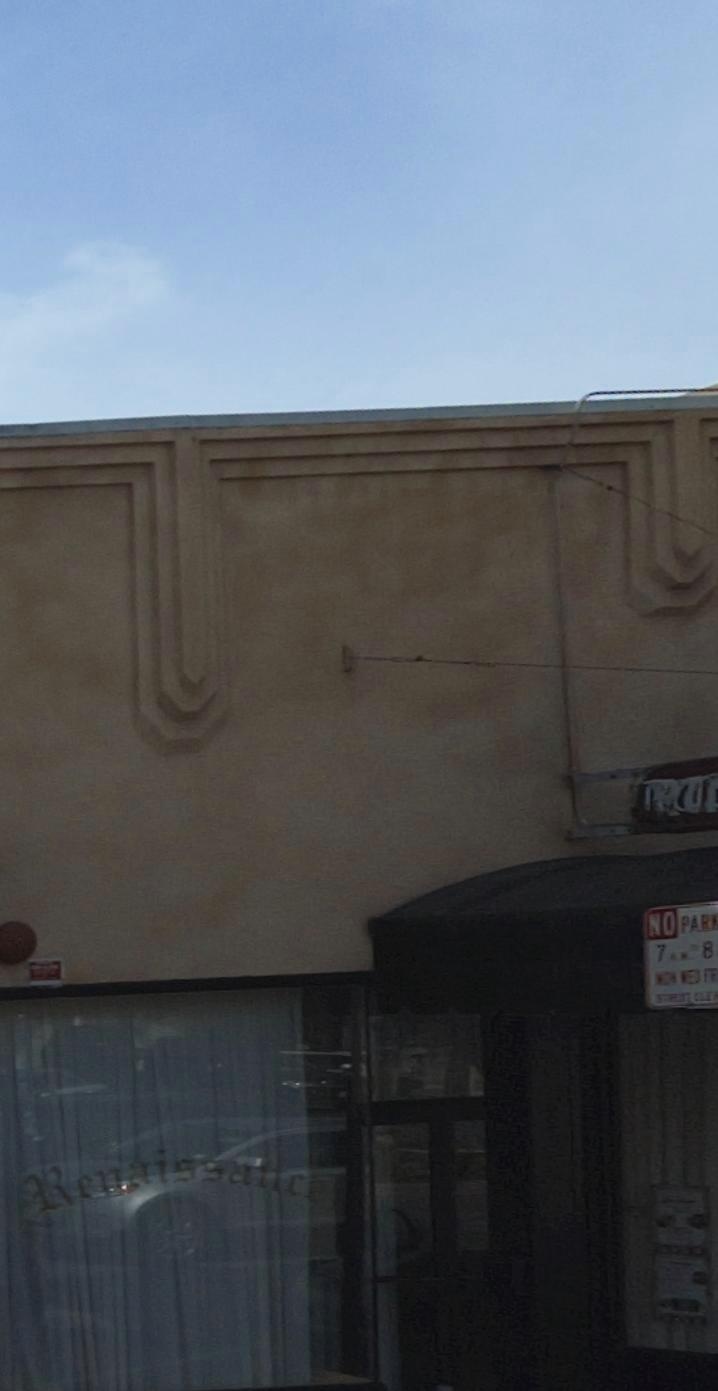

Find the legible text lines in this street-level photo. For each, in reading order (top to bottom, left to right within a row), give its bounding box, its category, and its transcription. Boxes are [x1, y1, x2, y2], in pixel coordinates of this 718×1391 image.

[645, 907, 714, 939] None: NO PAR
[651, 937, 715, 965] None: 7AM TO 8
[11, 1142, 333, 1228] BusinessName: Renaissance